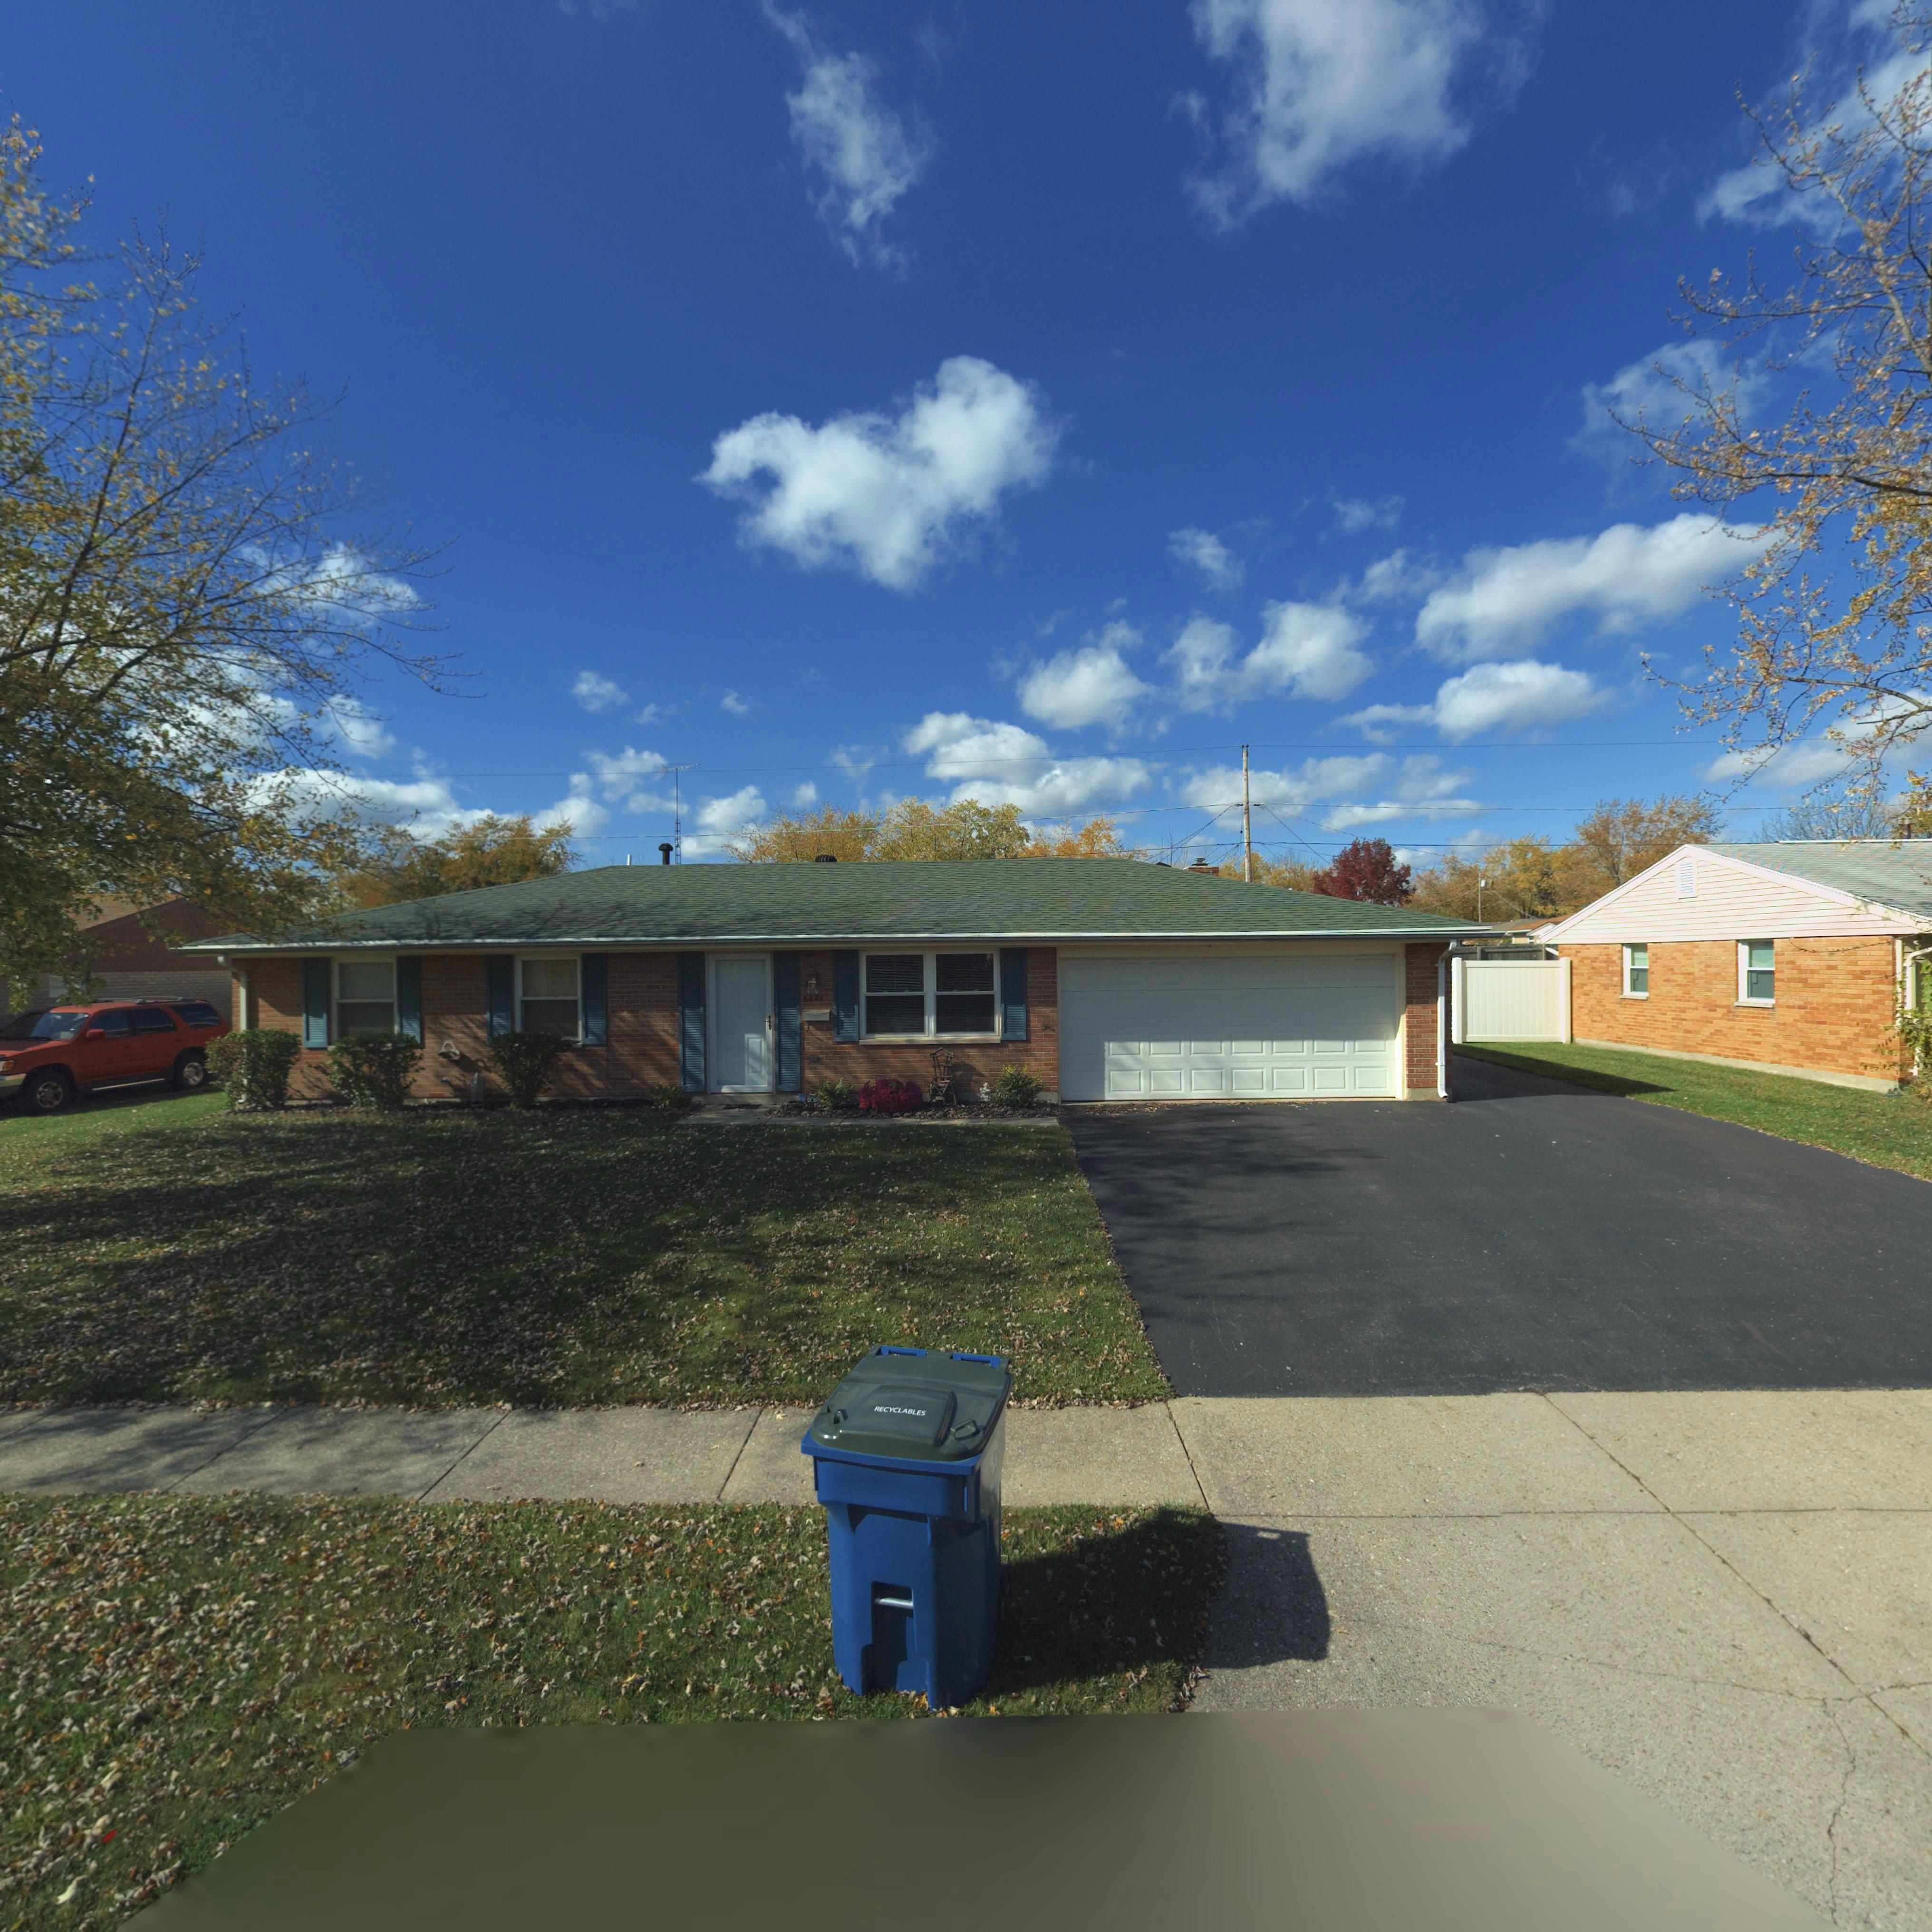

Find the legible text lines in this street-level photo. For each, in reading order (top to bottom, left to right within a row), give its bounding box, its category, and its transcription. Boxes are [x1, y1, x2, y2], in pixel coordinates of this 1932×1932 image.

[802, 995, 823, 1003] StreetNumber: 6671